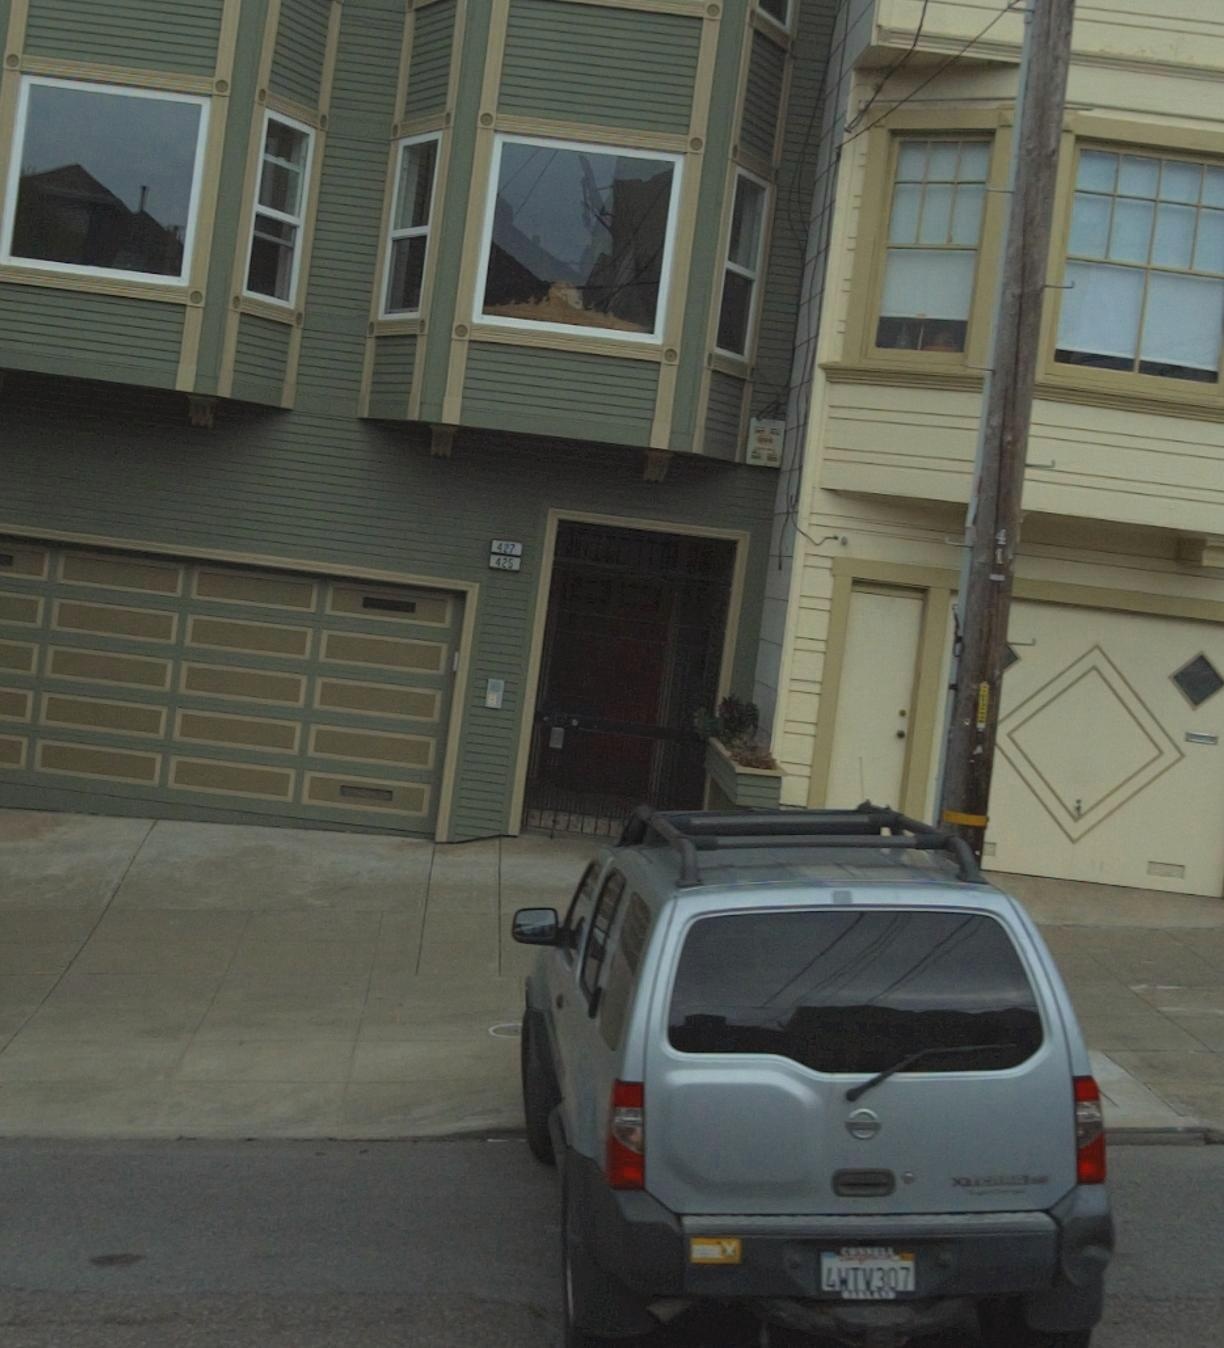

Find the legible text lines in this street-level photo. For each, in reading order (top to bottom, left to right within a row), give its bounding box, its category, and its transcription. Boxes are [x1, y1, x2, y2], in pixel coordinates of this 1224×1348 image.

[496, 542, 515, 554] StreetNumber: 427
[495, 557, 514, 568] StreetNumber: 425
[951, 1175, 1026, 1187] None: XTERRA
[825, 1266, 912, 1290] None: 4WTV307